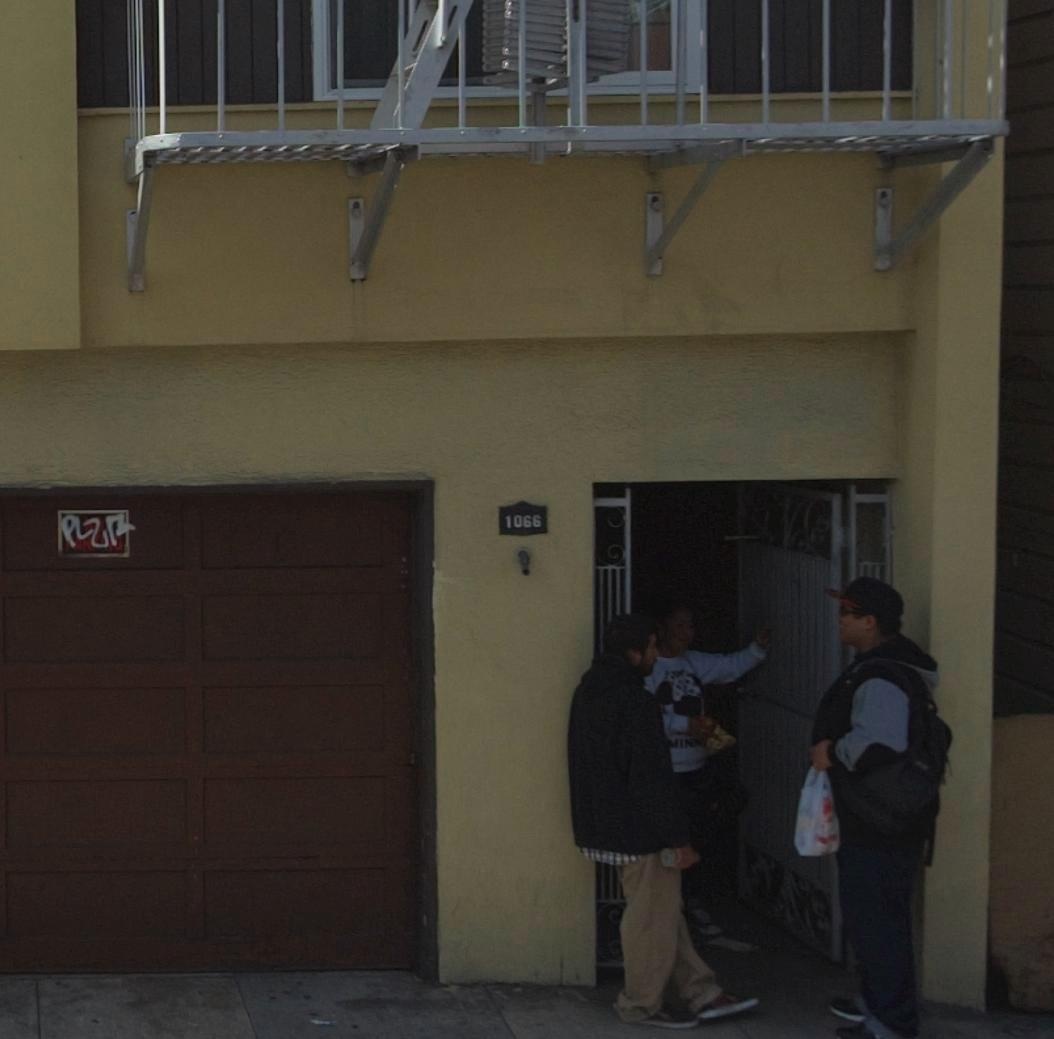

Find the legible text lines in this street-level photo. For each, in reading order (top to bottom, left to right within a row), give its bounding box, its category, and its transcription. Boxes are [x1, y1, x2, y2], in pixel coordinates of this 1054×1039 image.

[504, 512, 542, 530] StreetNumber: 1066